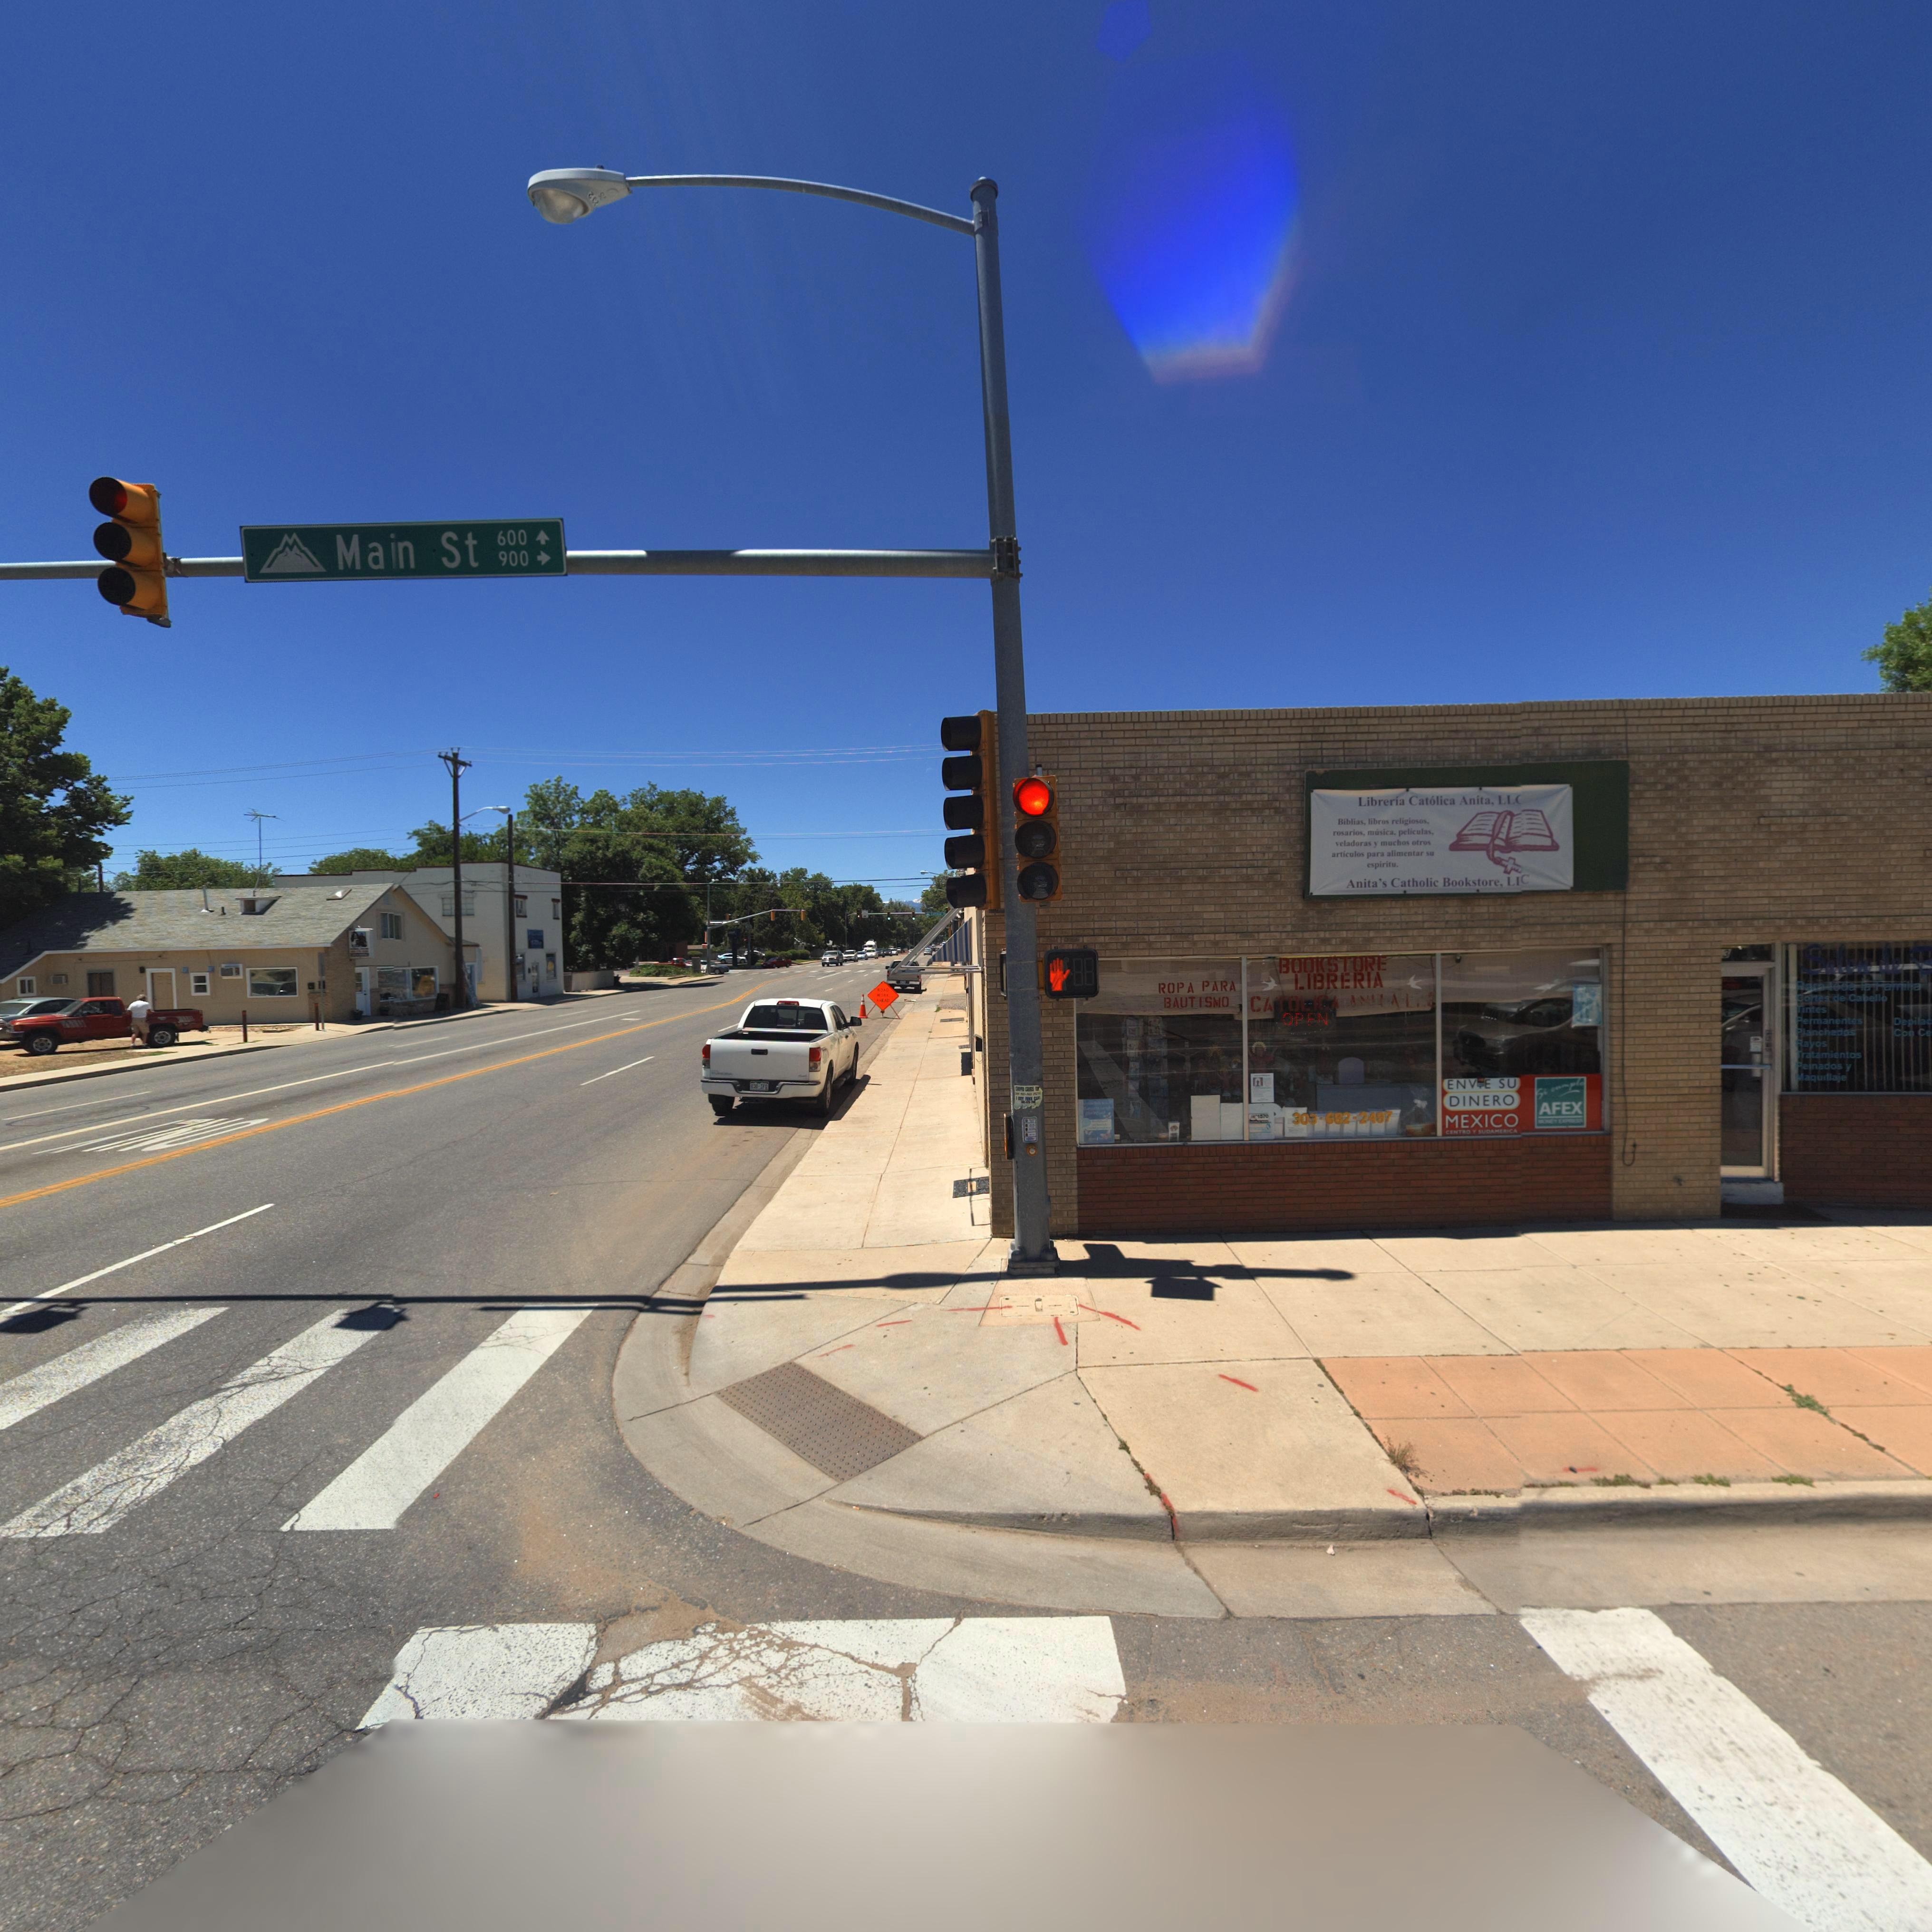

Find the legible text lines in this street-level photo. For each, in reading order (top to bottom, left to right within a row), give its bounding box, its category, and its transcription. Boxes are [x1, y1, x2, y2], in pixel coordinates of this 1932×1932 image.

[496, 529, 527, 546] StreetNumberRange: 600
[335, 531, 480, 571] StreetName: Main St
[498, 550, 551, 566] StreetNumberRange: 900->
[1358, 793, 1525, 807] BusinessName: Libreria Catolica Anita, LLC
[1344, 873, 1530, 889] BusinessName: Anita's Catholic Bookstore, LLC
[1278, 955, 1387, 974] BusinessName: BOOKSTORE
[1798, 941, 1904, 976] BusinessName: Salon de
[1294, 971, 1383, 990] BusinessName: LIBRERIA
[1249, 991, 1436, 1013] BusinessName: CATOLICA ANITA LLC